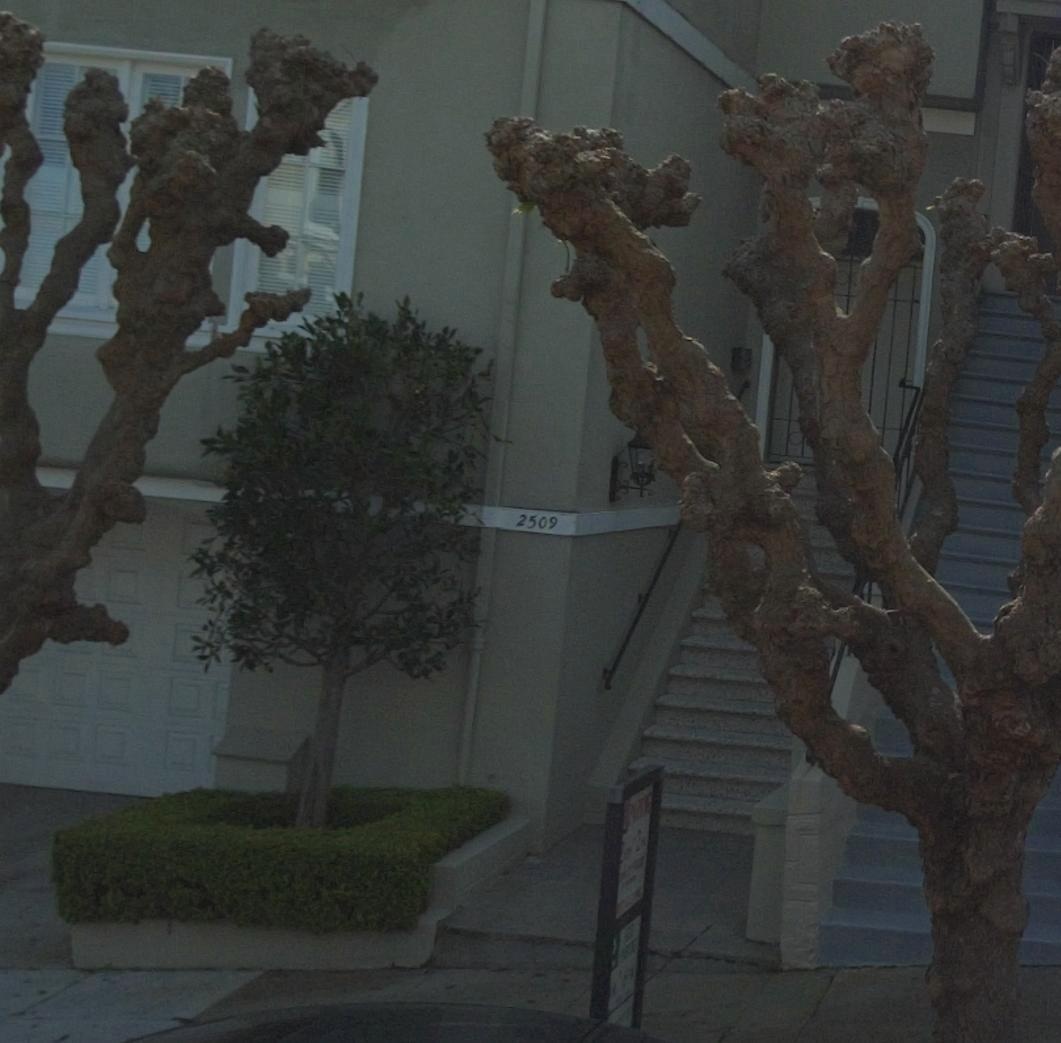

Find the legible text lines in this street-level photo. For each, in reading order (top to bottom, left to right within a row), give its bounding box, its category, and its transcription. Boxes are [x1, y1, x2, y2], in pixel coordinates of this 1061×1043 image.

[512, 511, 561, 532] StreetNumber: 2509